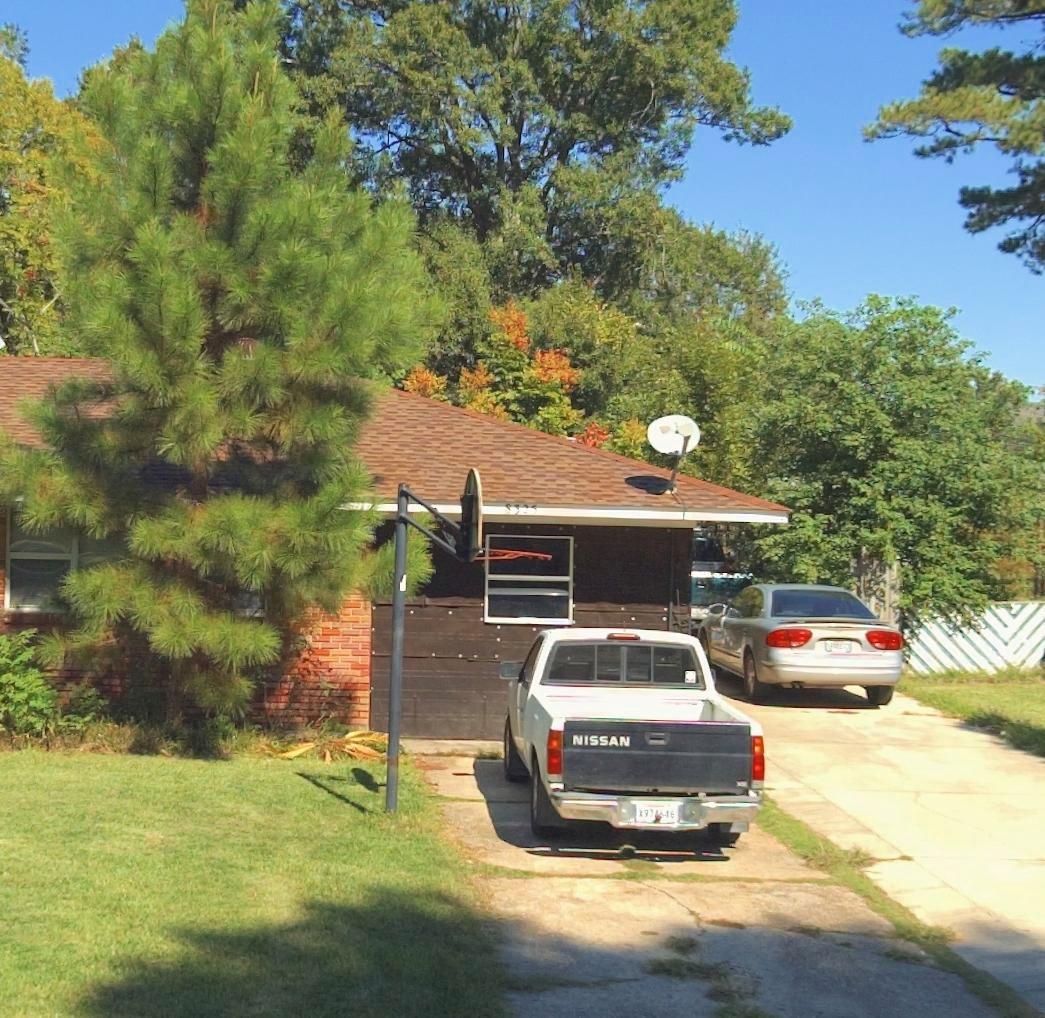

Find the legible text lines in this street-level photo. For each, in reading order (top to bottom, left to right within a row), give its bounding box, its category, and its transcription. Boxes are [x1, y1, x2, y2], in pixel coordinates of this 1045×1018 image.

[503, 502, 539, 517] StreetNumber: 8325
[571, 732, 632, 749] None: NISSAN
[662, 808, 676, 820] None: 46